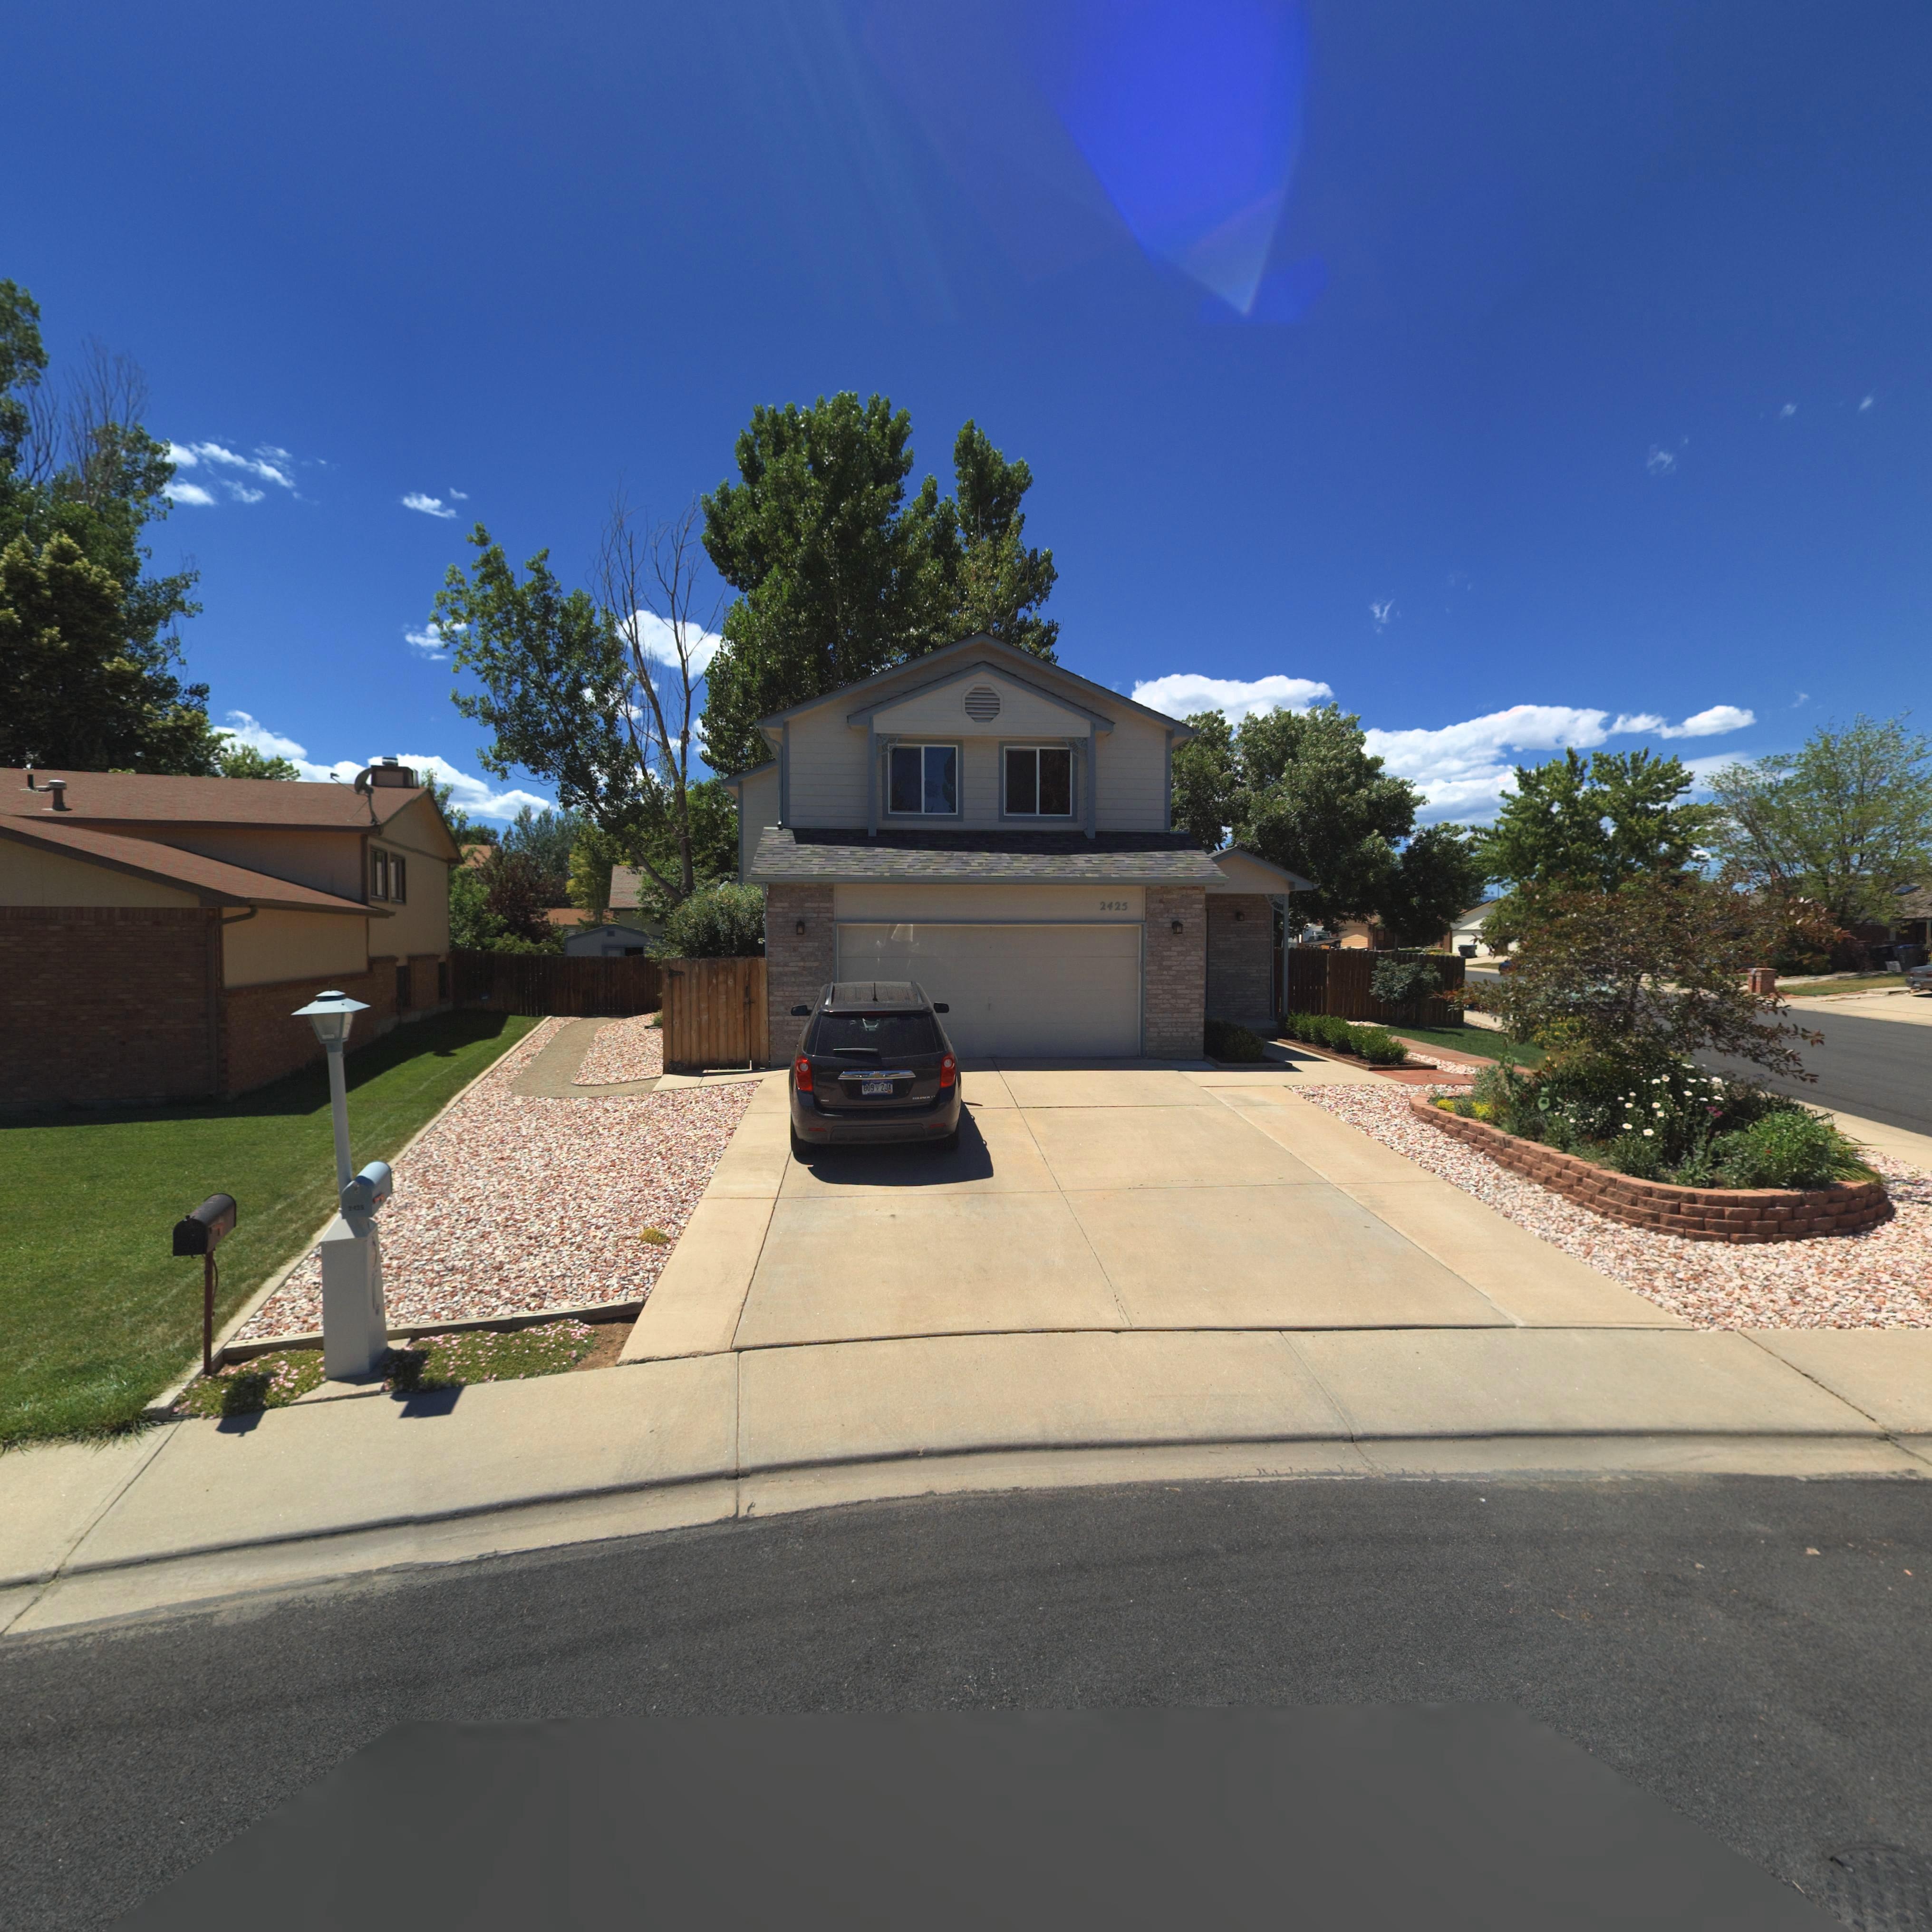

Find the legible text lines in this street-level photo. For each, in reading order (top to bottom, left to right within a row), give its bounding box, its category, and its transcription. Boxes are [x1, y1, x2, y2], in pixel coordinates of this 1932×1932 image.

[1099, 901, 1128, 911] StreetNumber: 2425
[348, 1204, 364, 1211] StreetNumber: 243*